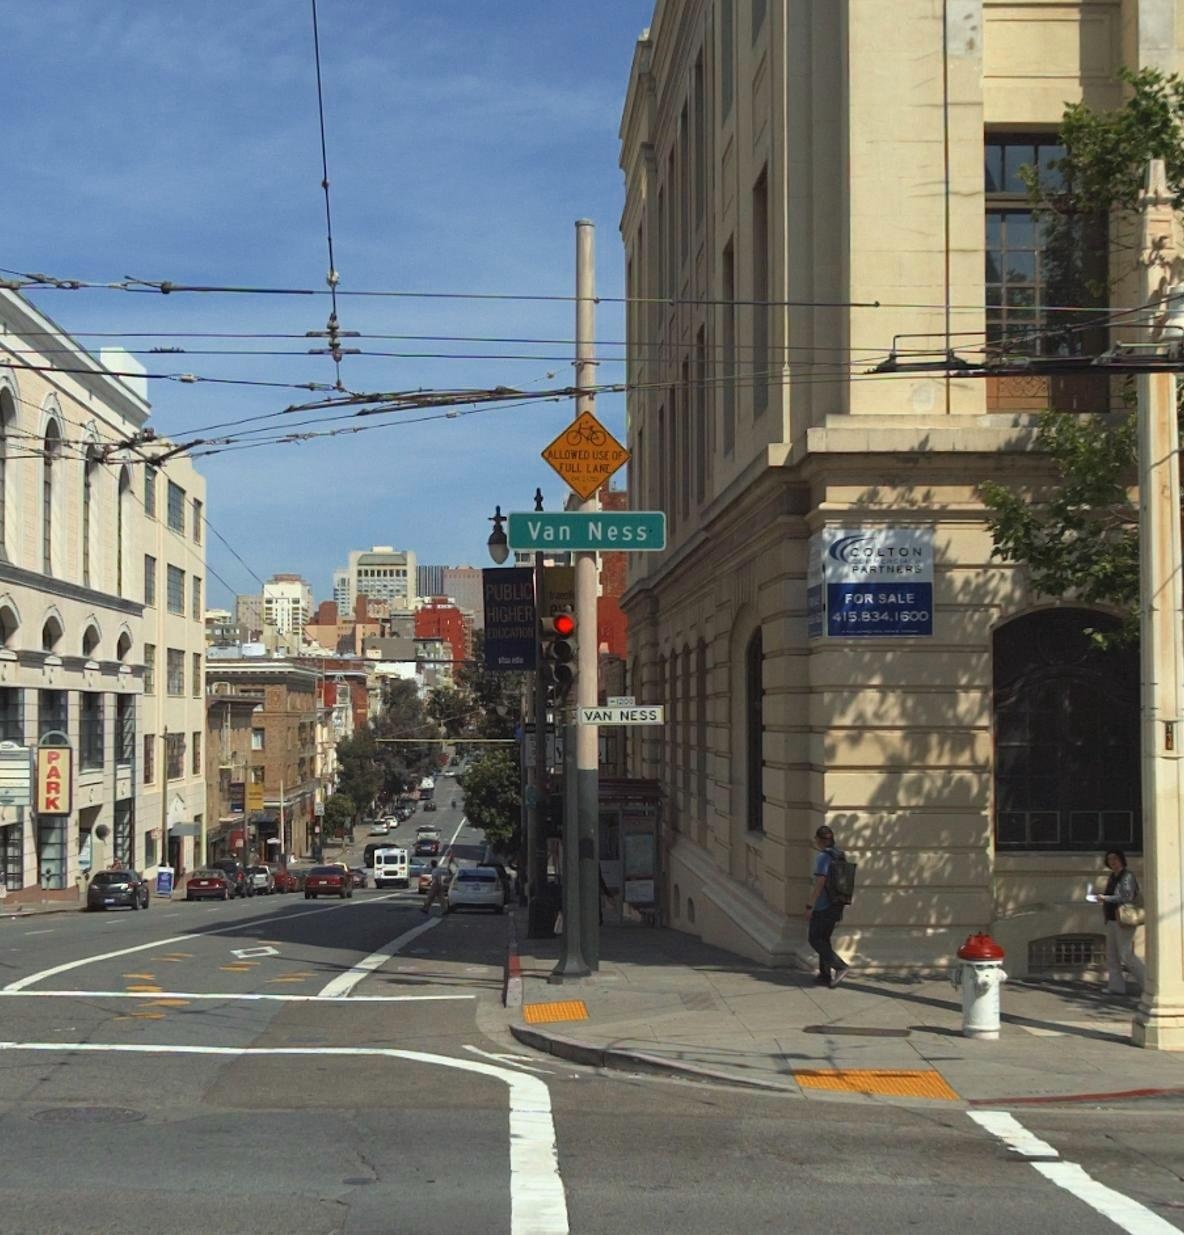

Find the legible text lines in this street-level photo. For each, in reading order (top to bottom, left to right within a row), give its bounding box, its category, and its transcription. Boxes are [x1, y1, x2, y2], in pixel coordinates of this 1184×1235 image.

[544, 446, 626, 463] None: ALLOWED USE OF
[557, 459, 614, 477] None: FULL LANE
[525, 518, 648, 543] StreetName: Van Ness
[848, 545, 924, 559] None: COLTON
[849, 562, 924, 576] None: PARTNERS
[483, 580, 534, 604] None: PUBLIC
[842, 591, 918, 606] None: FOR SALE
[484, 601, 536, 627] None: HIGHER
[829, 608, 931, 625] None: 415.834.1600
[485, 622, 536, 642] None: EDUCATION
[606, 696, 635, 707] StreetNumberRange: <-1*00
[582, 708, 659, 723] StreetName: VAN NESS
[42, 747, 65, 815] None: PARK